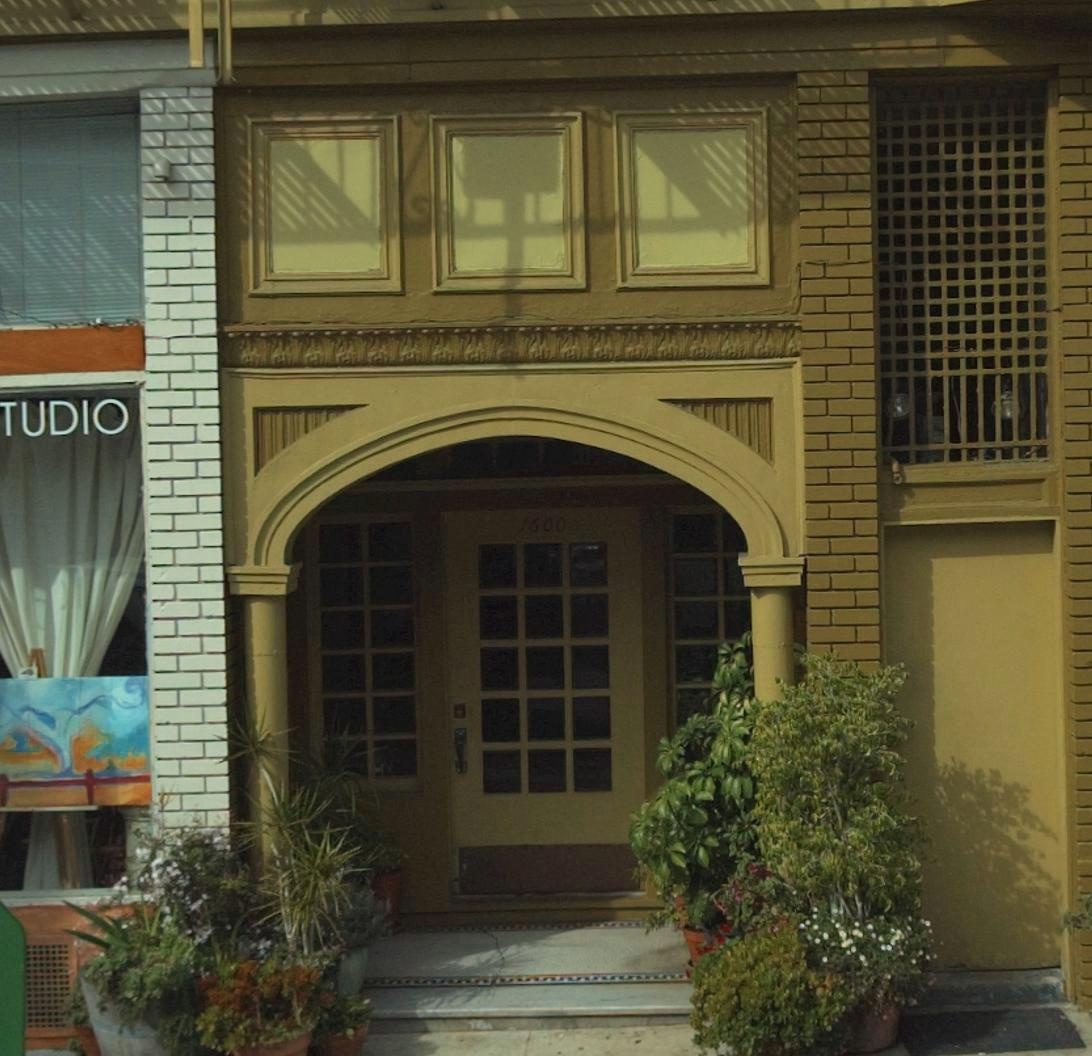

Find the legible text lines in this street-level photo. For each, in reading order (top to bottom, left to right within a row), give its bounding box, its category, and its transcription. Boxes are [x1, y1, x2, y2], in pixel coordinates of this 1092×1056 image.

[0, 396, 131, 440] BusinessName: TUDIO
[515, 512, 569, 536] StreetNumber: 1600